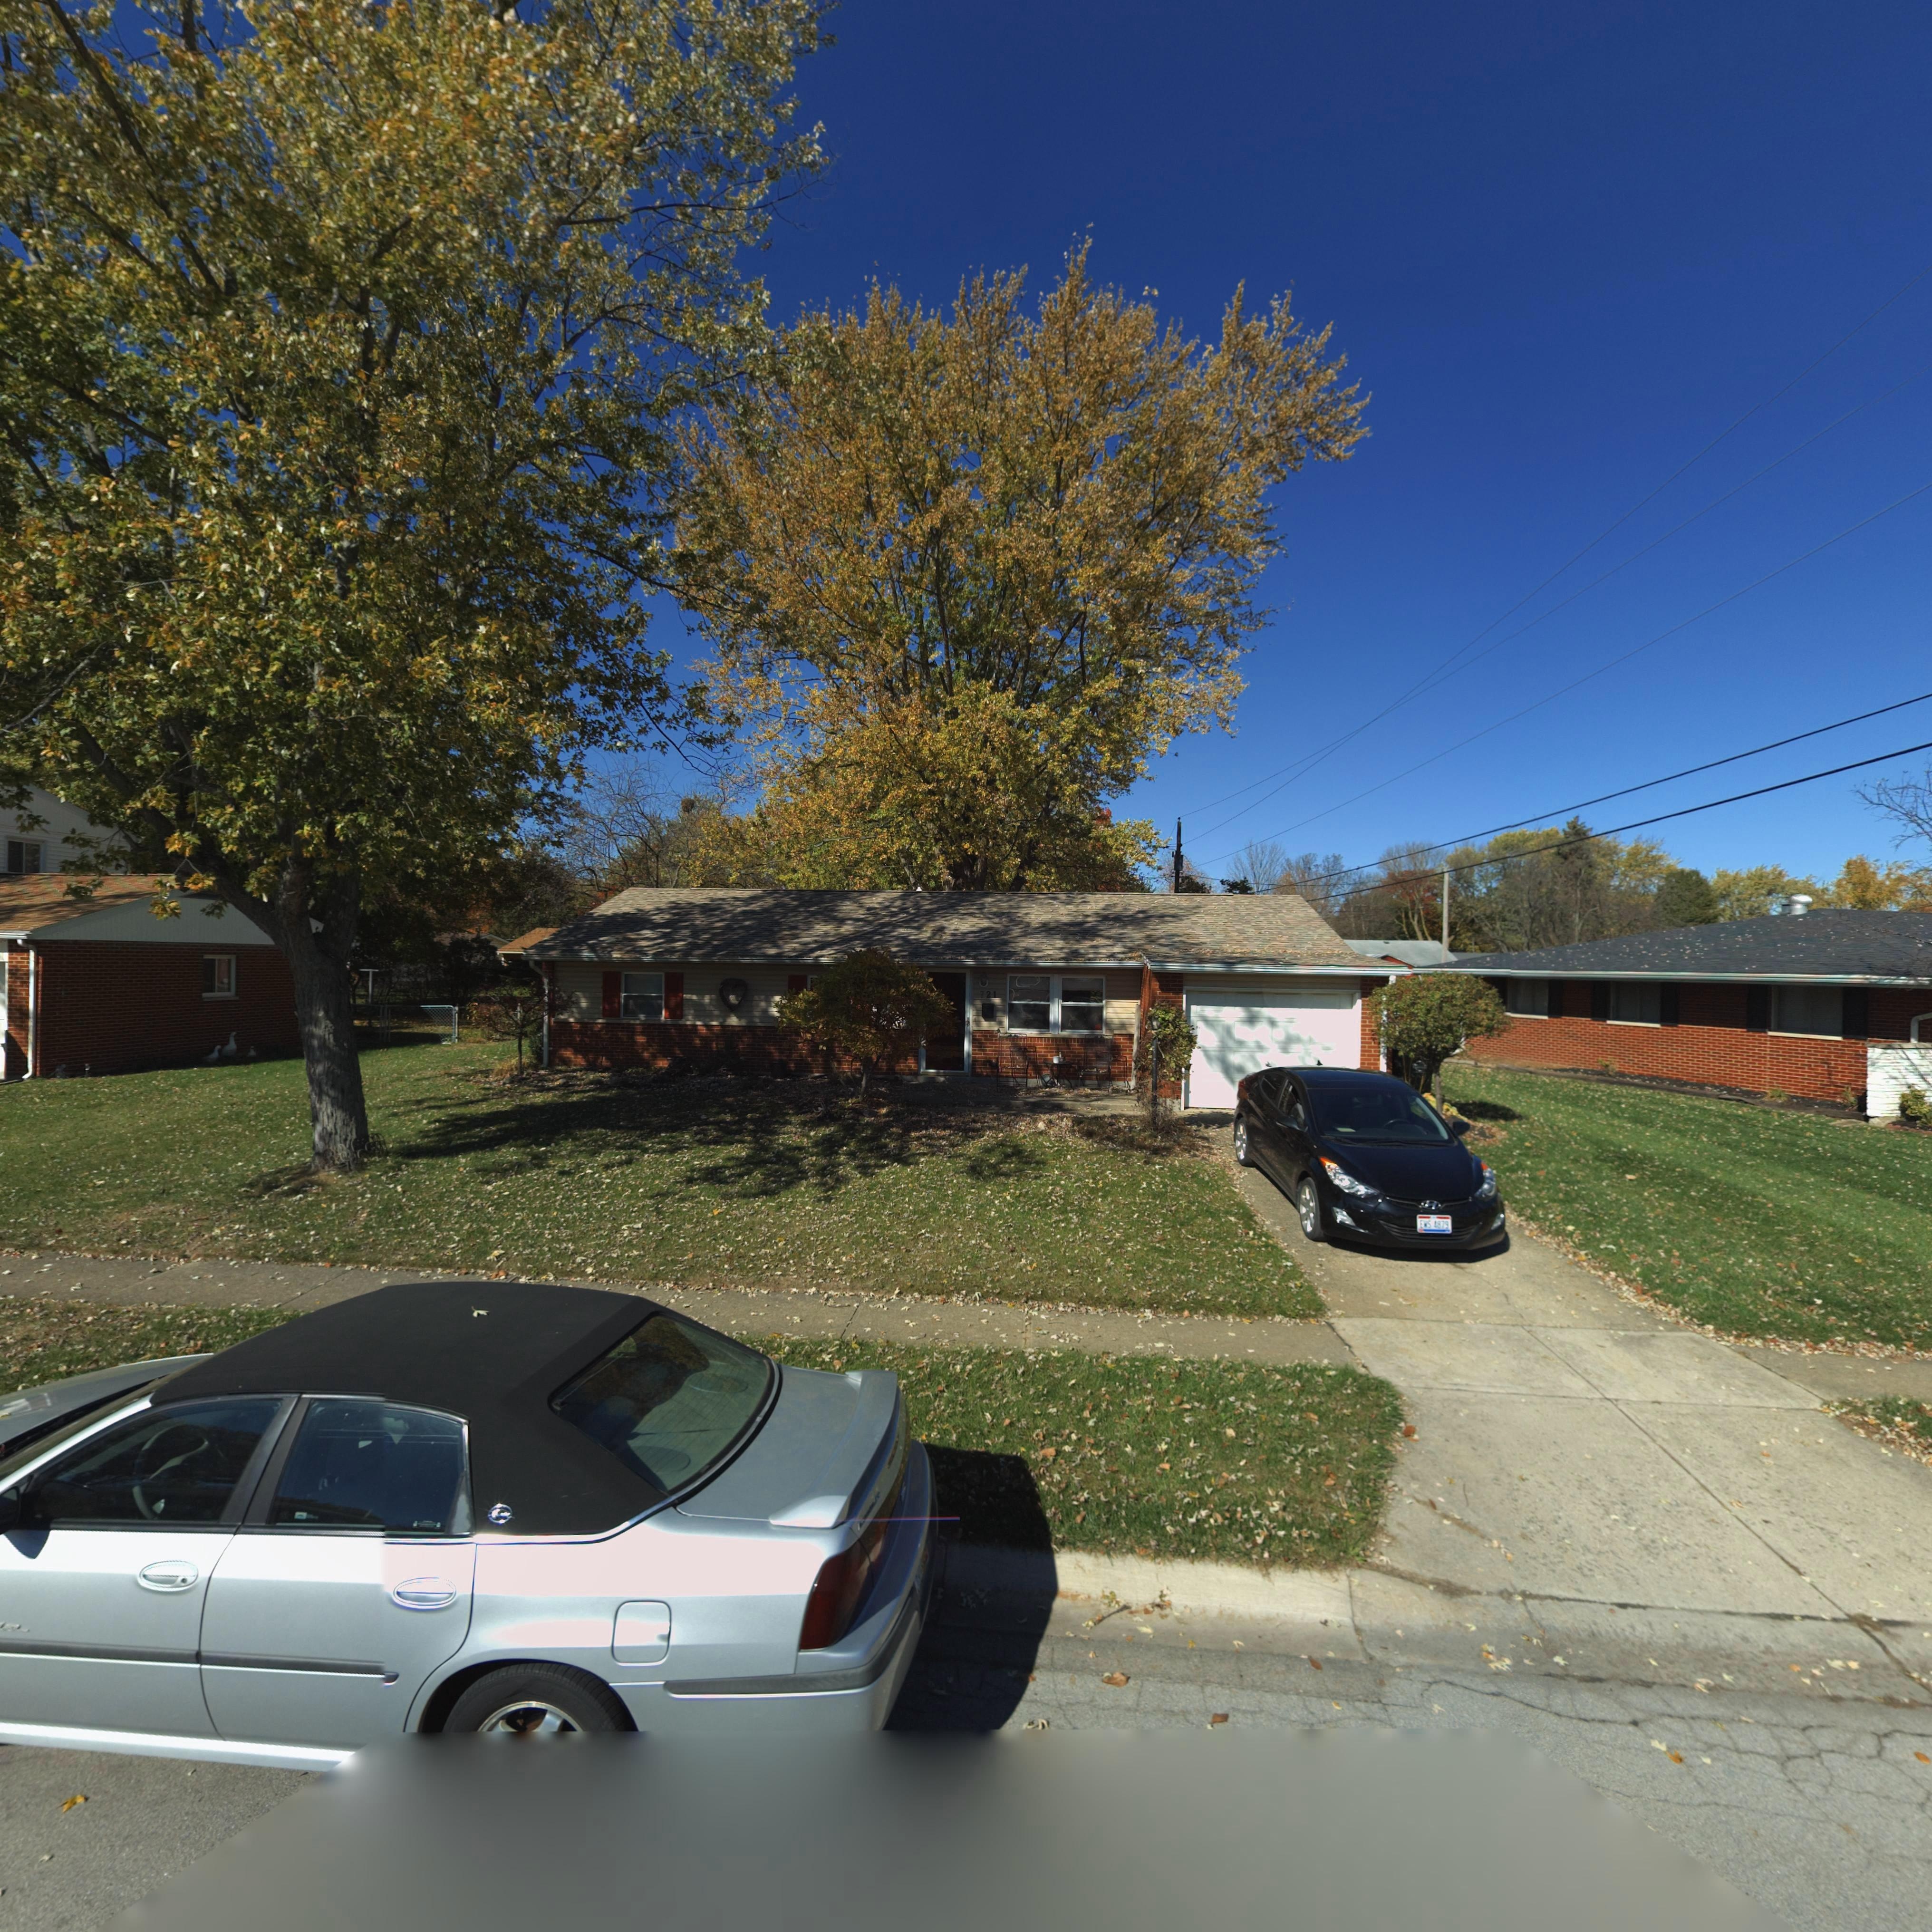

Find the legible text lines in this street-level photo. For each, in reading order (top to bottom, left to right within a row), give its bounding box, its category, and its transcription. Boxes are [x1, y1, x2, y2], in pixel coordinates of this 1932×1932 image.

[979, 990, 997, 998] StreetNumber: 721